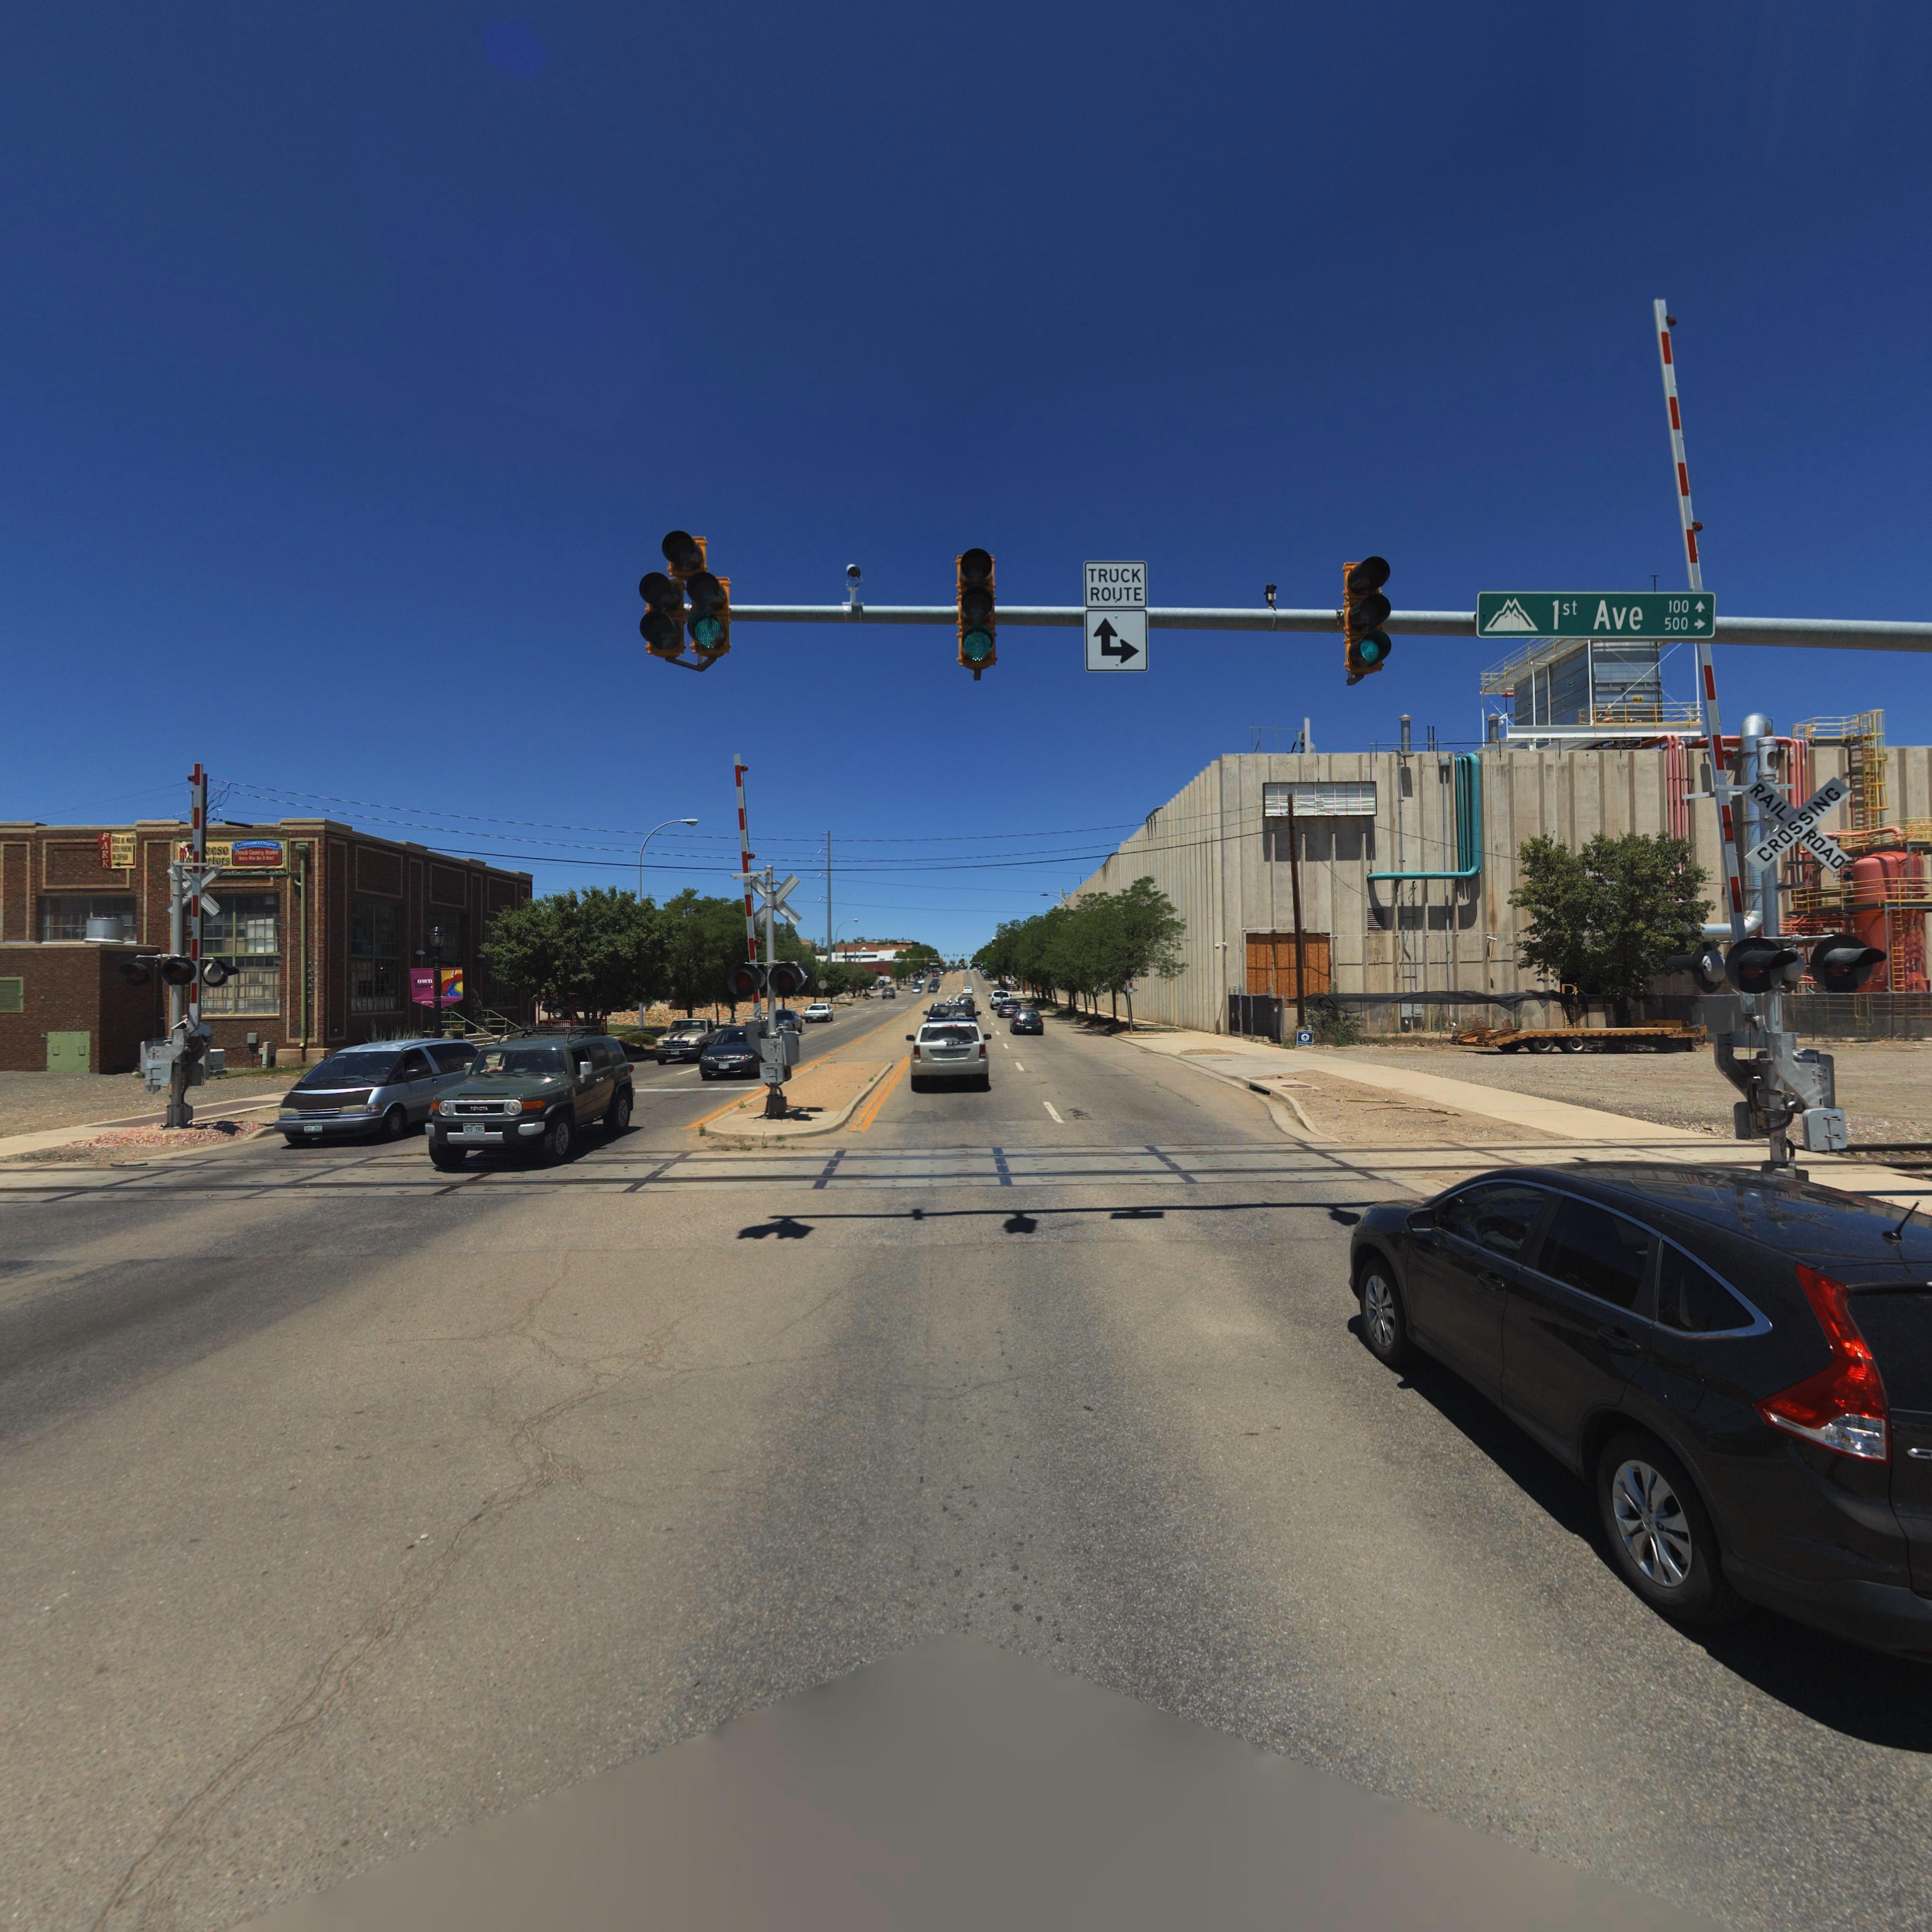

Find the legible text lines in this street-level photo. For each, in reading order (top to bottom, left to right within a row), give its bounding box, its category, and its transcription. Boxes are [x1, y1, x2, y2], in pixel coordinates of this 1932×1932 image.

[1668, 599, 1690, 613] StreetNumberRange: 100
[1552, 599, 1644, 630] StreetName: 1st Ave
[1664, 617, 1706, 631] StreetNumberRange: 500->
[205, 845, 230, 855] BusinessName: eese
[206, 856, 231, 866] BusinessName: ***rs